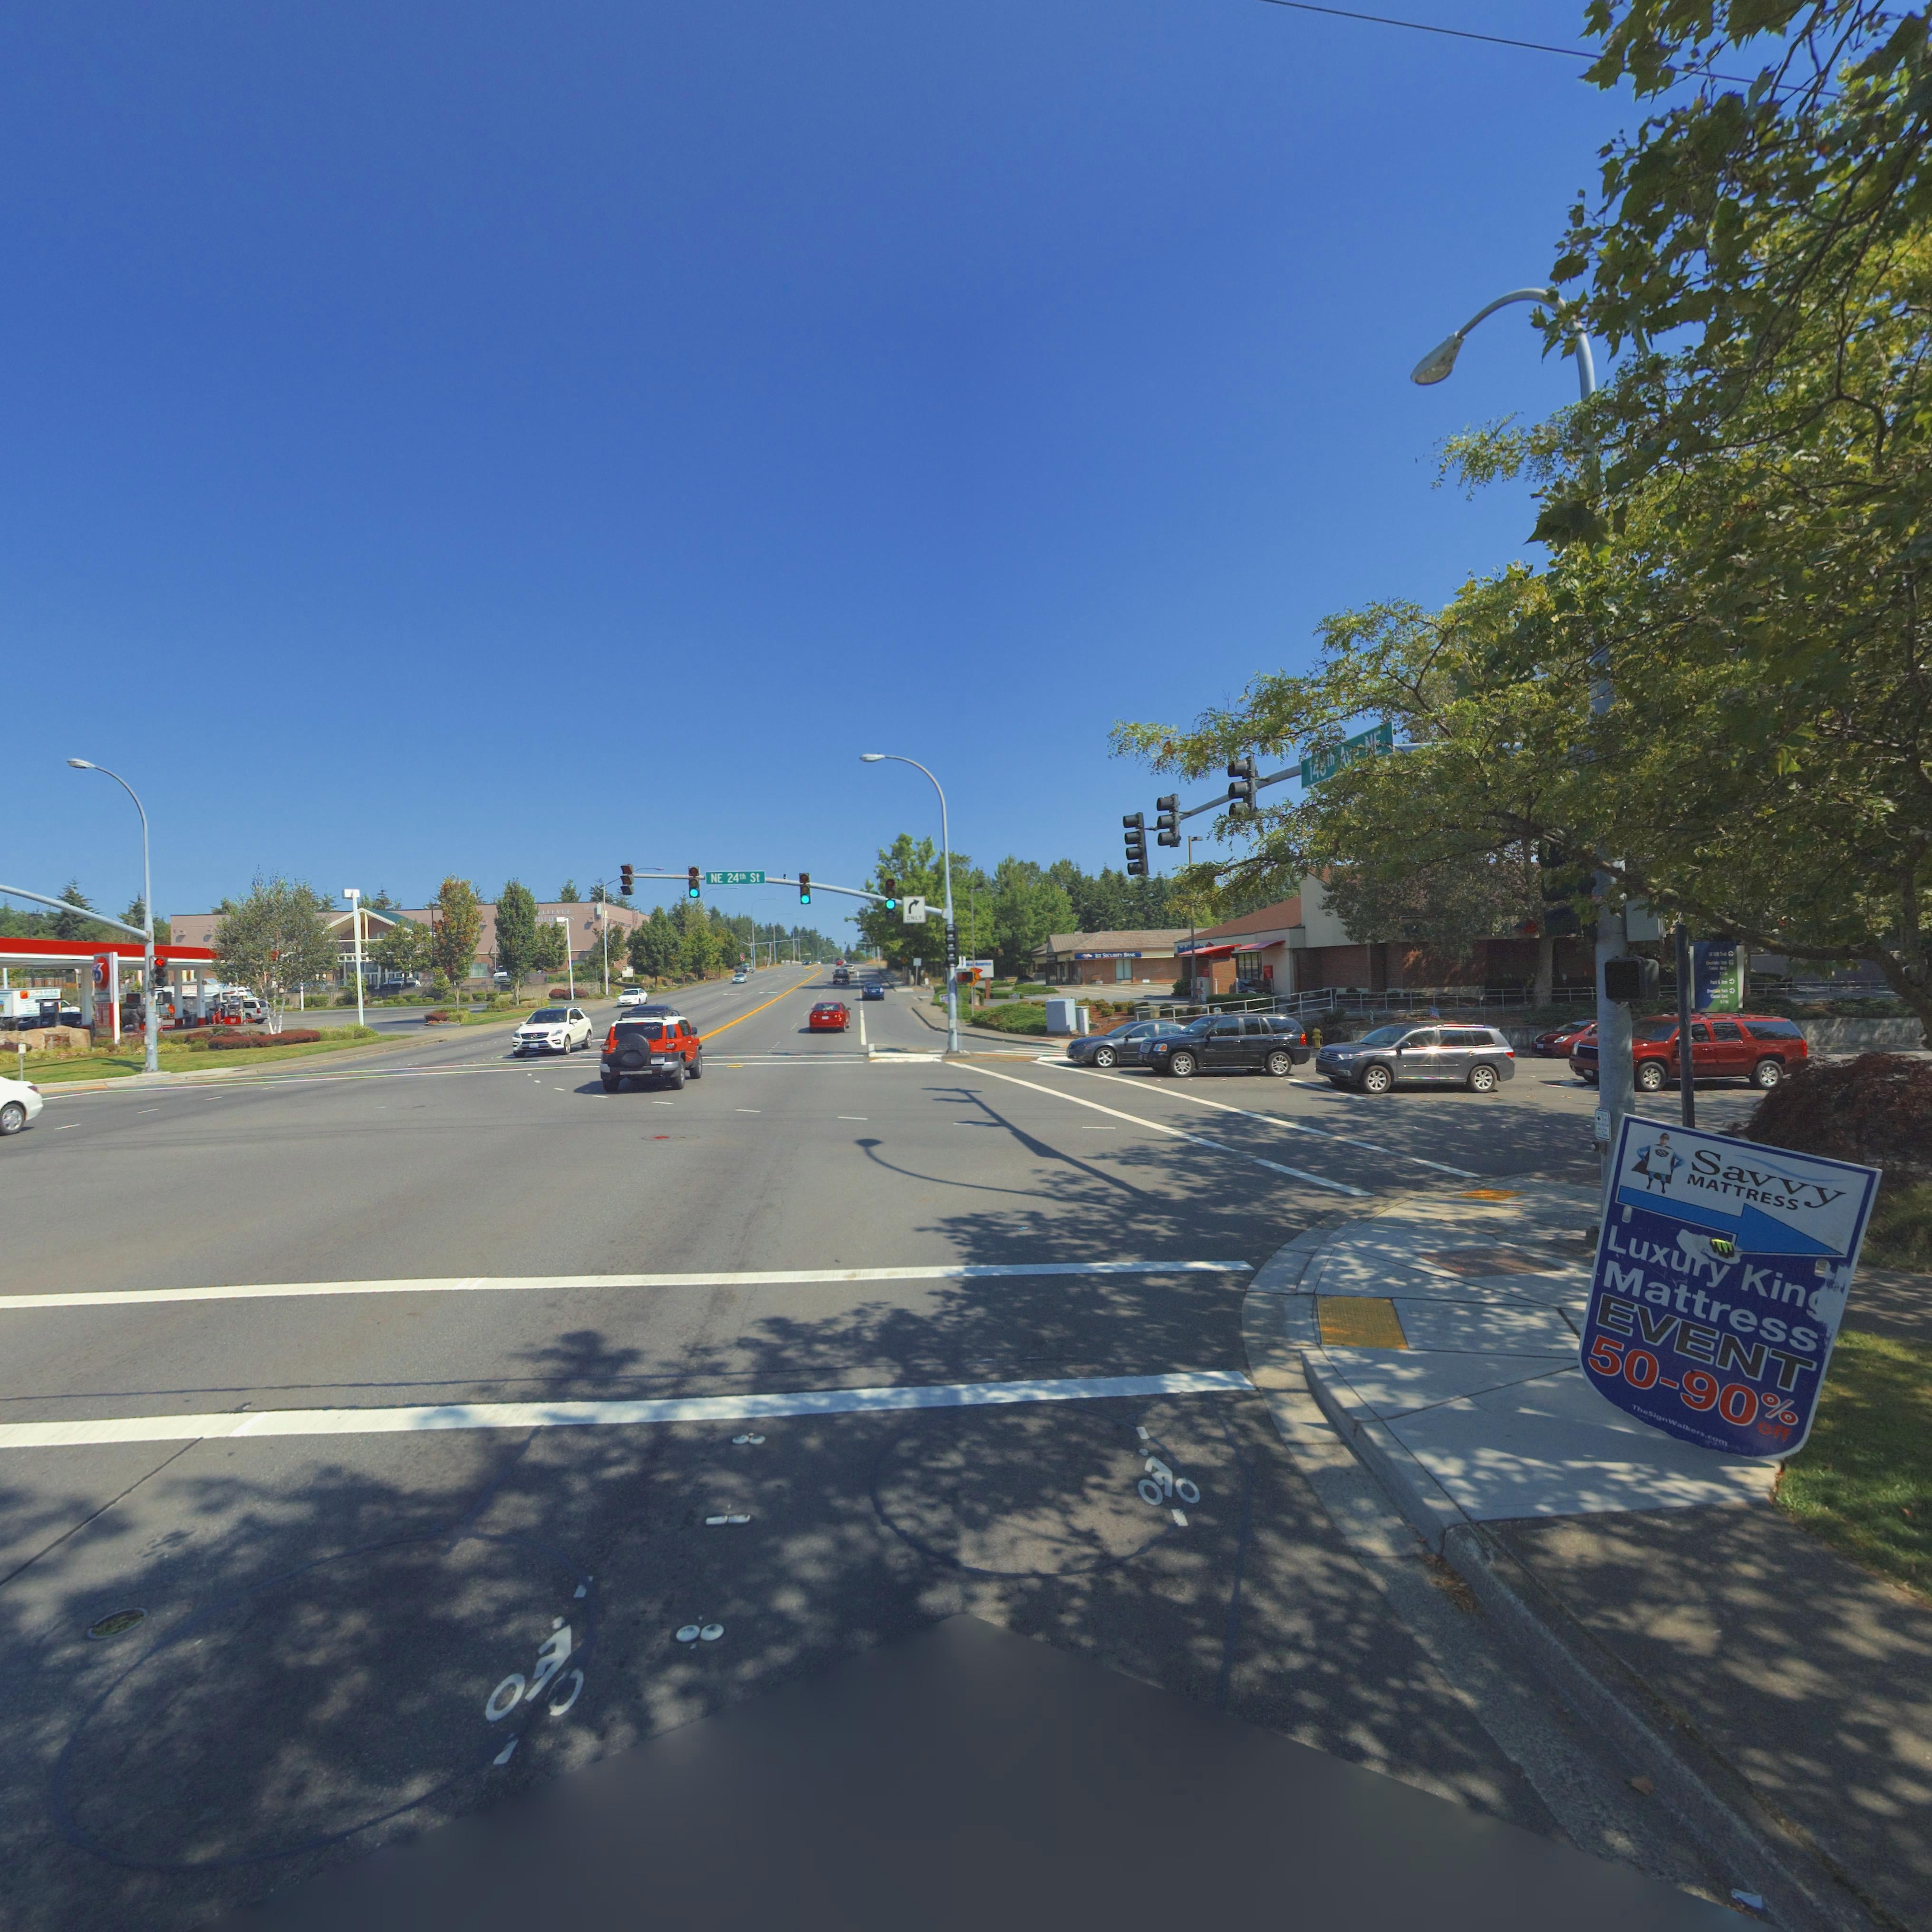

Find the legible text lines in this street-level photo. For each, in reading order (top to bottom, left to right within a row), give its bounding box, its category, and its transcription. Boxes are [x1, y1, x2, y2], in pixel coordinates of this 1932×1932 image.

[1309, 730, 1381, 781] StreetName: 14*th *** **
[711, 873, 760, 883] StreetName: NE 24 St
[1094, 952, 1135, 957] BusinessName: 1ST SECURITY BANK
[94, 963, 104, 983] BusinessName: 6
[1687, 1173, 1798, 1211] None: MATTRESS